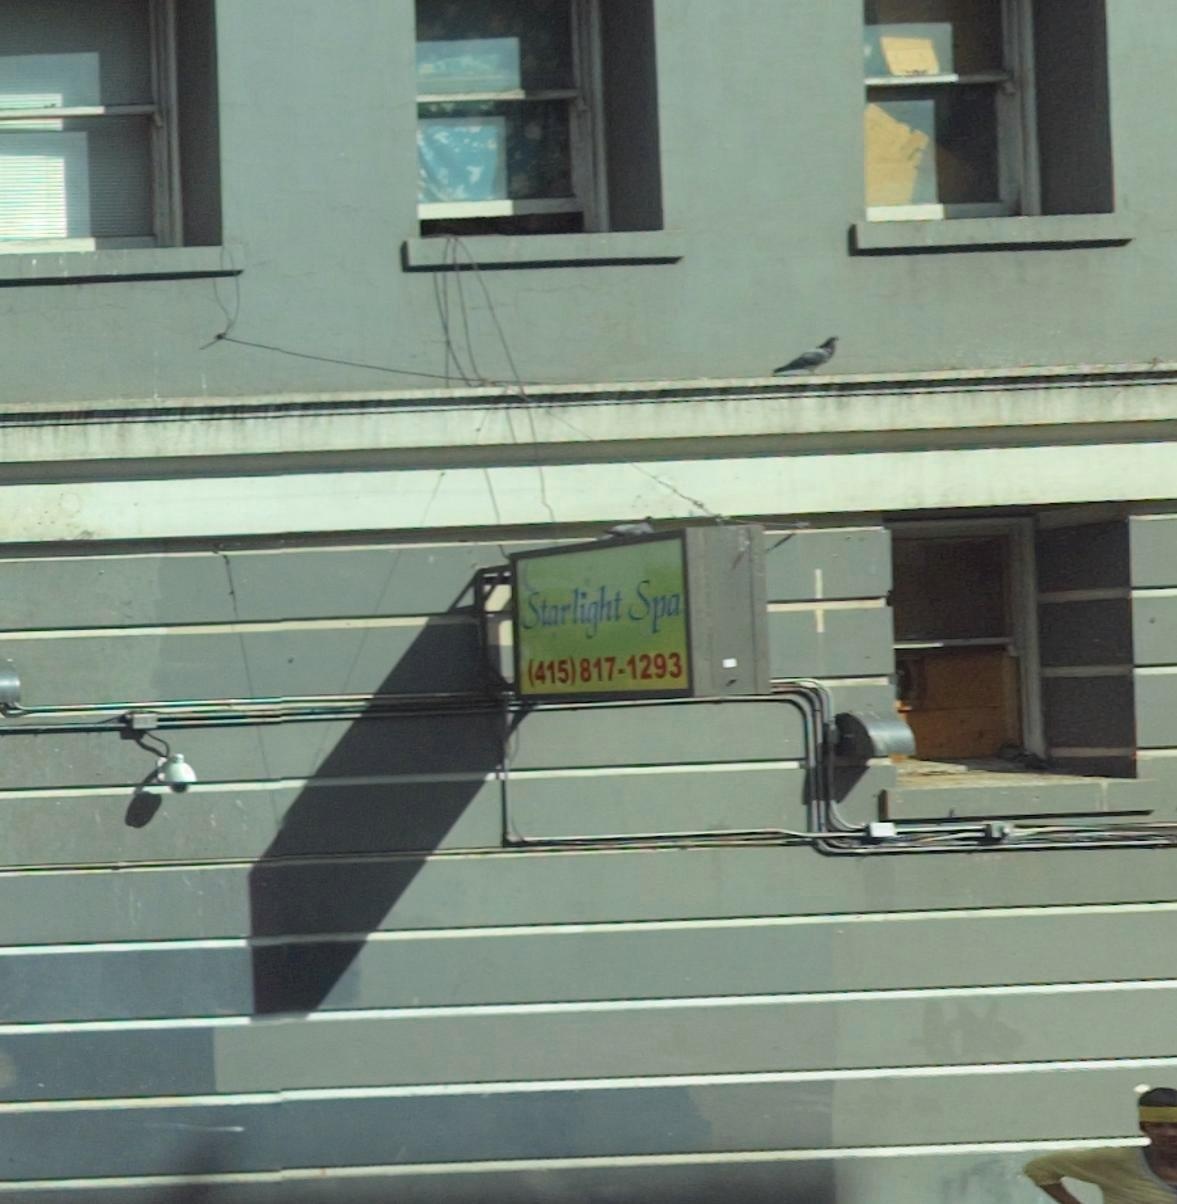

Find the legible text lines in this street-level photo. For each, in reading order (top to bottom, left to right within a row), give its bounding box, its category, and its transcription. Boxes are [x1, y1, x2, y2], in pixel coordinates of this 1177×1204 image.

[518, 576, 685, 642] BusinessName: Strarlight Spa
[523, 648, 685, 691] None: (415) 817-1293